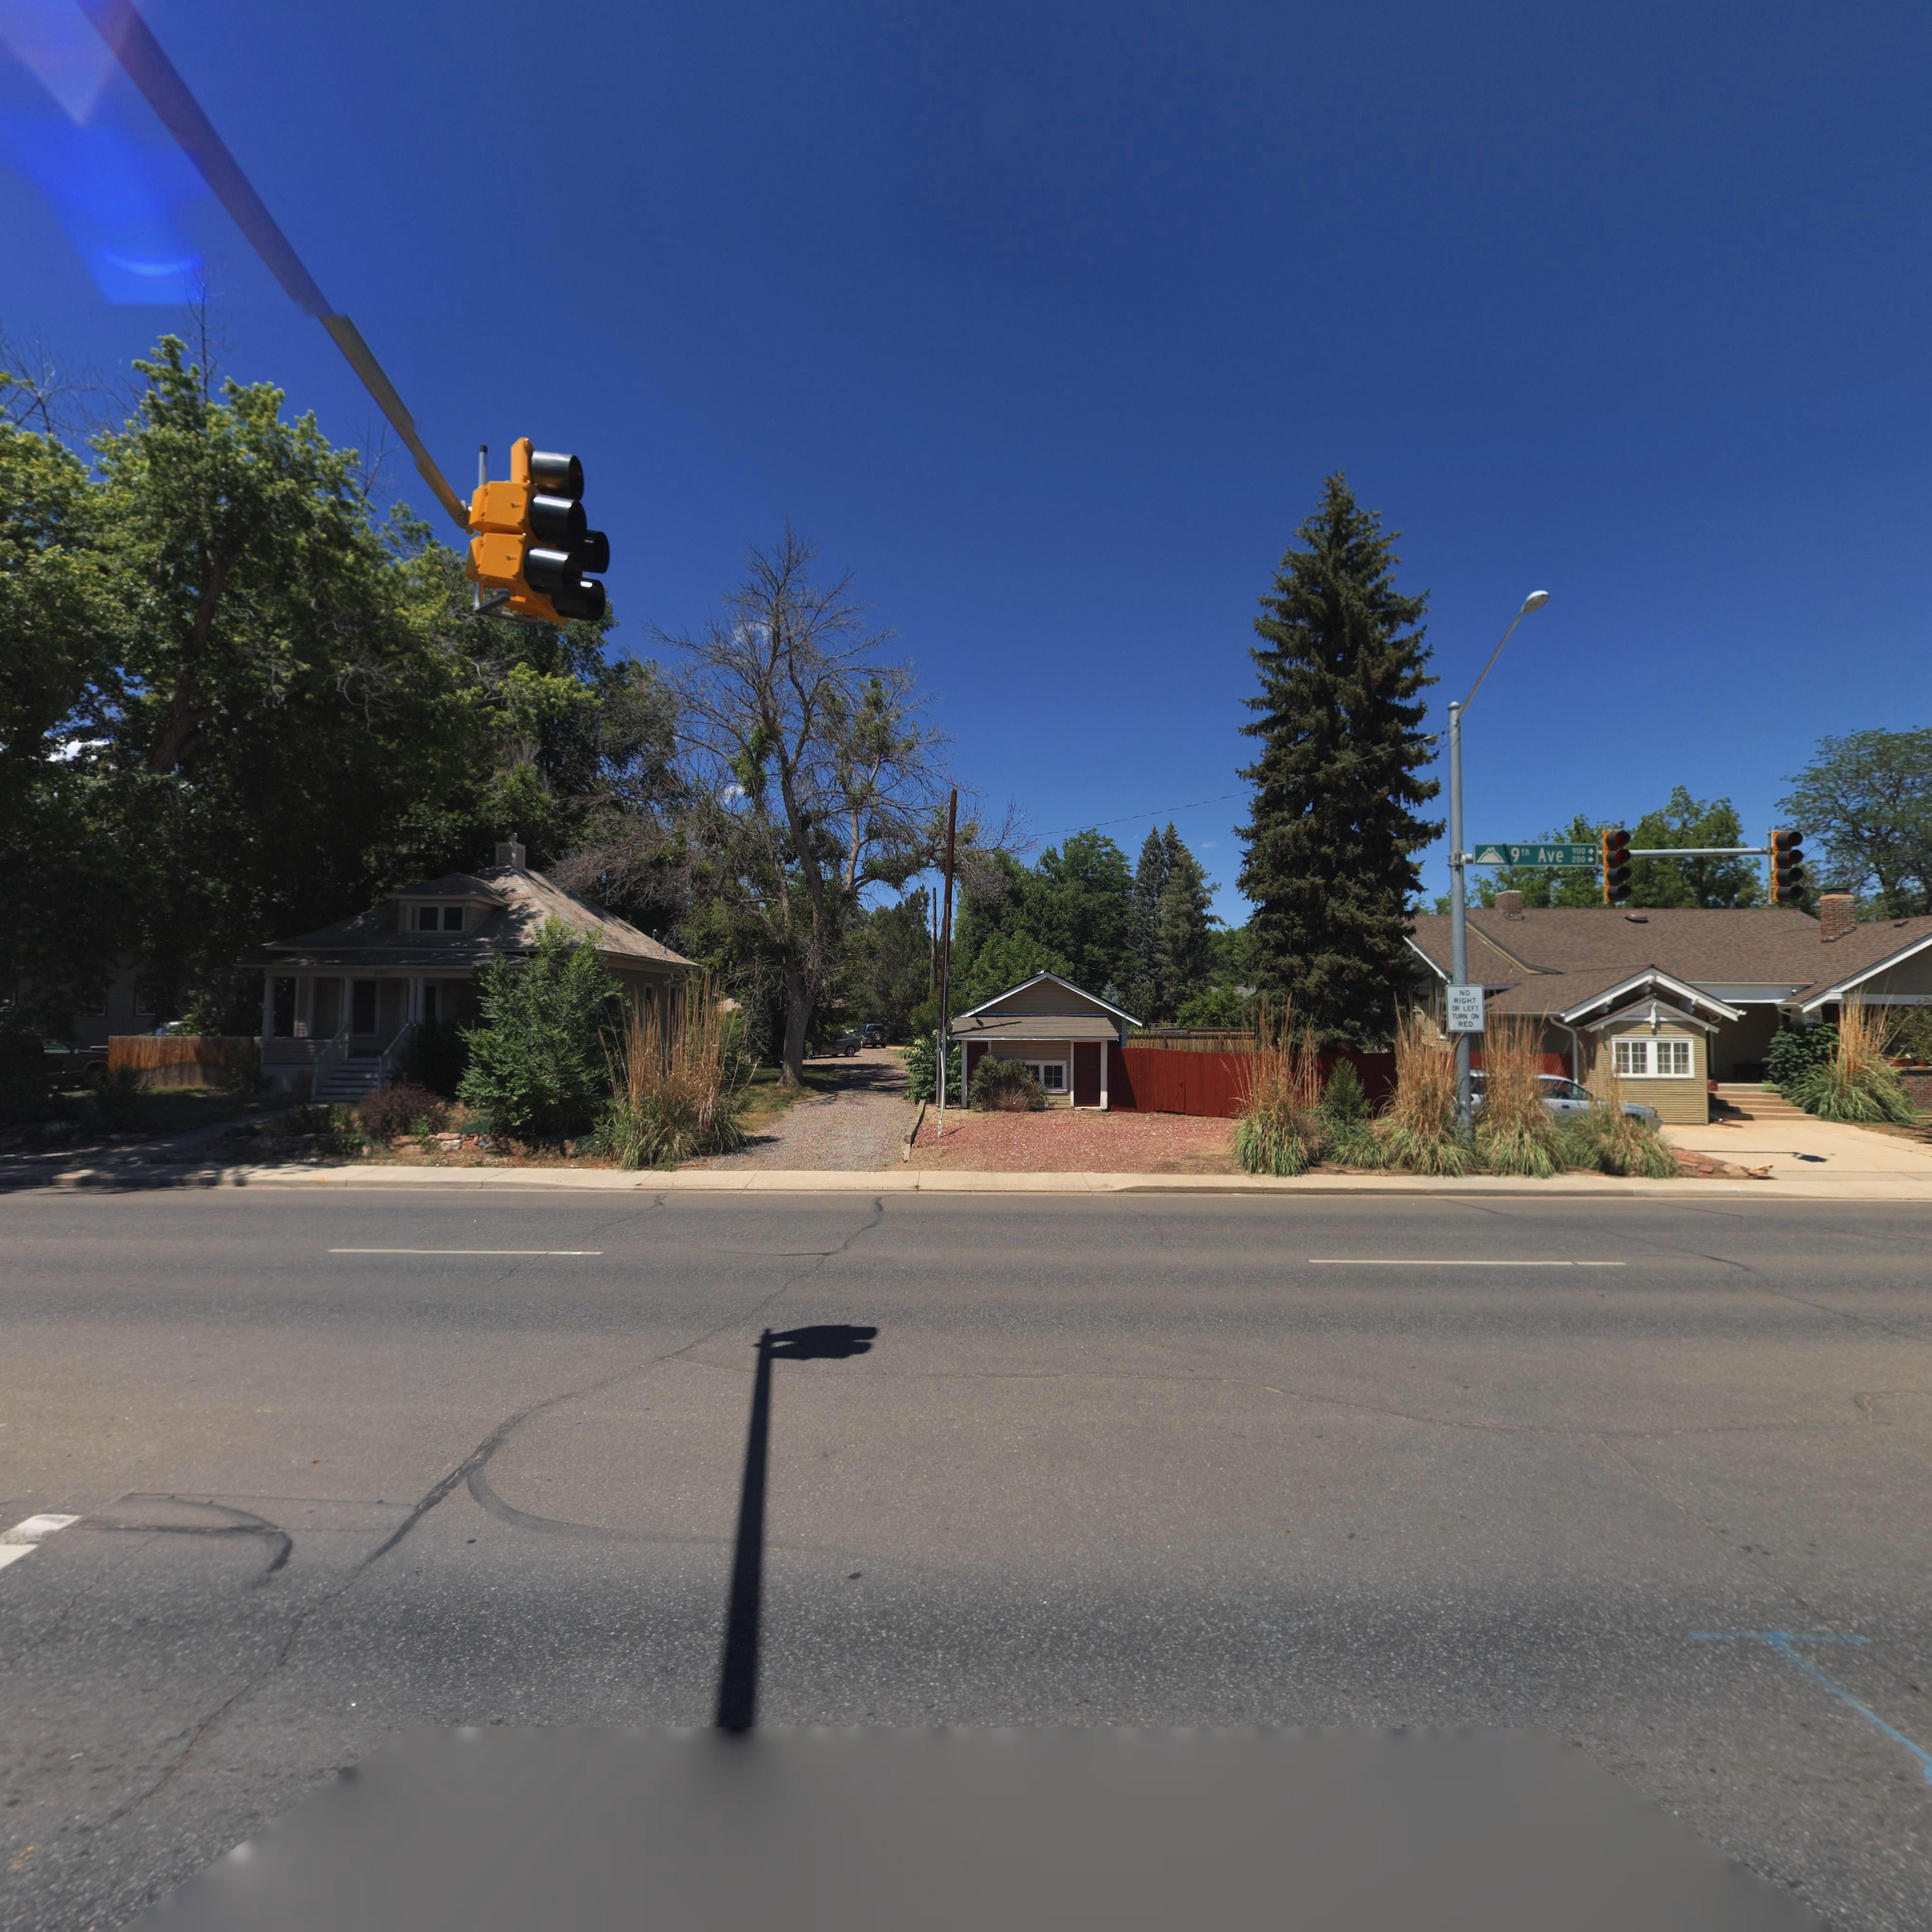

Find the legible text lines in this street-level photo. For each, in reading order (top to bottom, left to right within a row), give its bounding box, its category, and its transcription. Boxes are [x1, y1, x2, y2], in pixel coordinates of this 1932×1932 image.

[1572, 847, 1585, 854] StreetNumberRange: 900
[1510, 847, 1564, 862] StreetName: 9th Ave
[1572, 855, 1594, 862] StreetNumberRange: 200->
[374, 969, 388, 976] StreetNumber: 30*
[1806, 1011, 1820, 1020] StreetNumber: 308